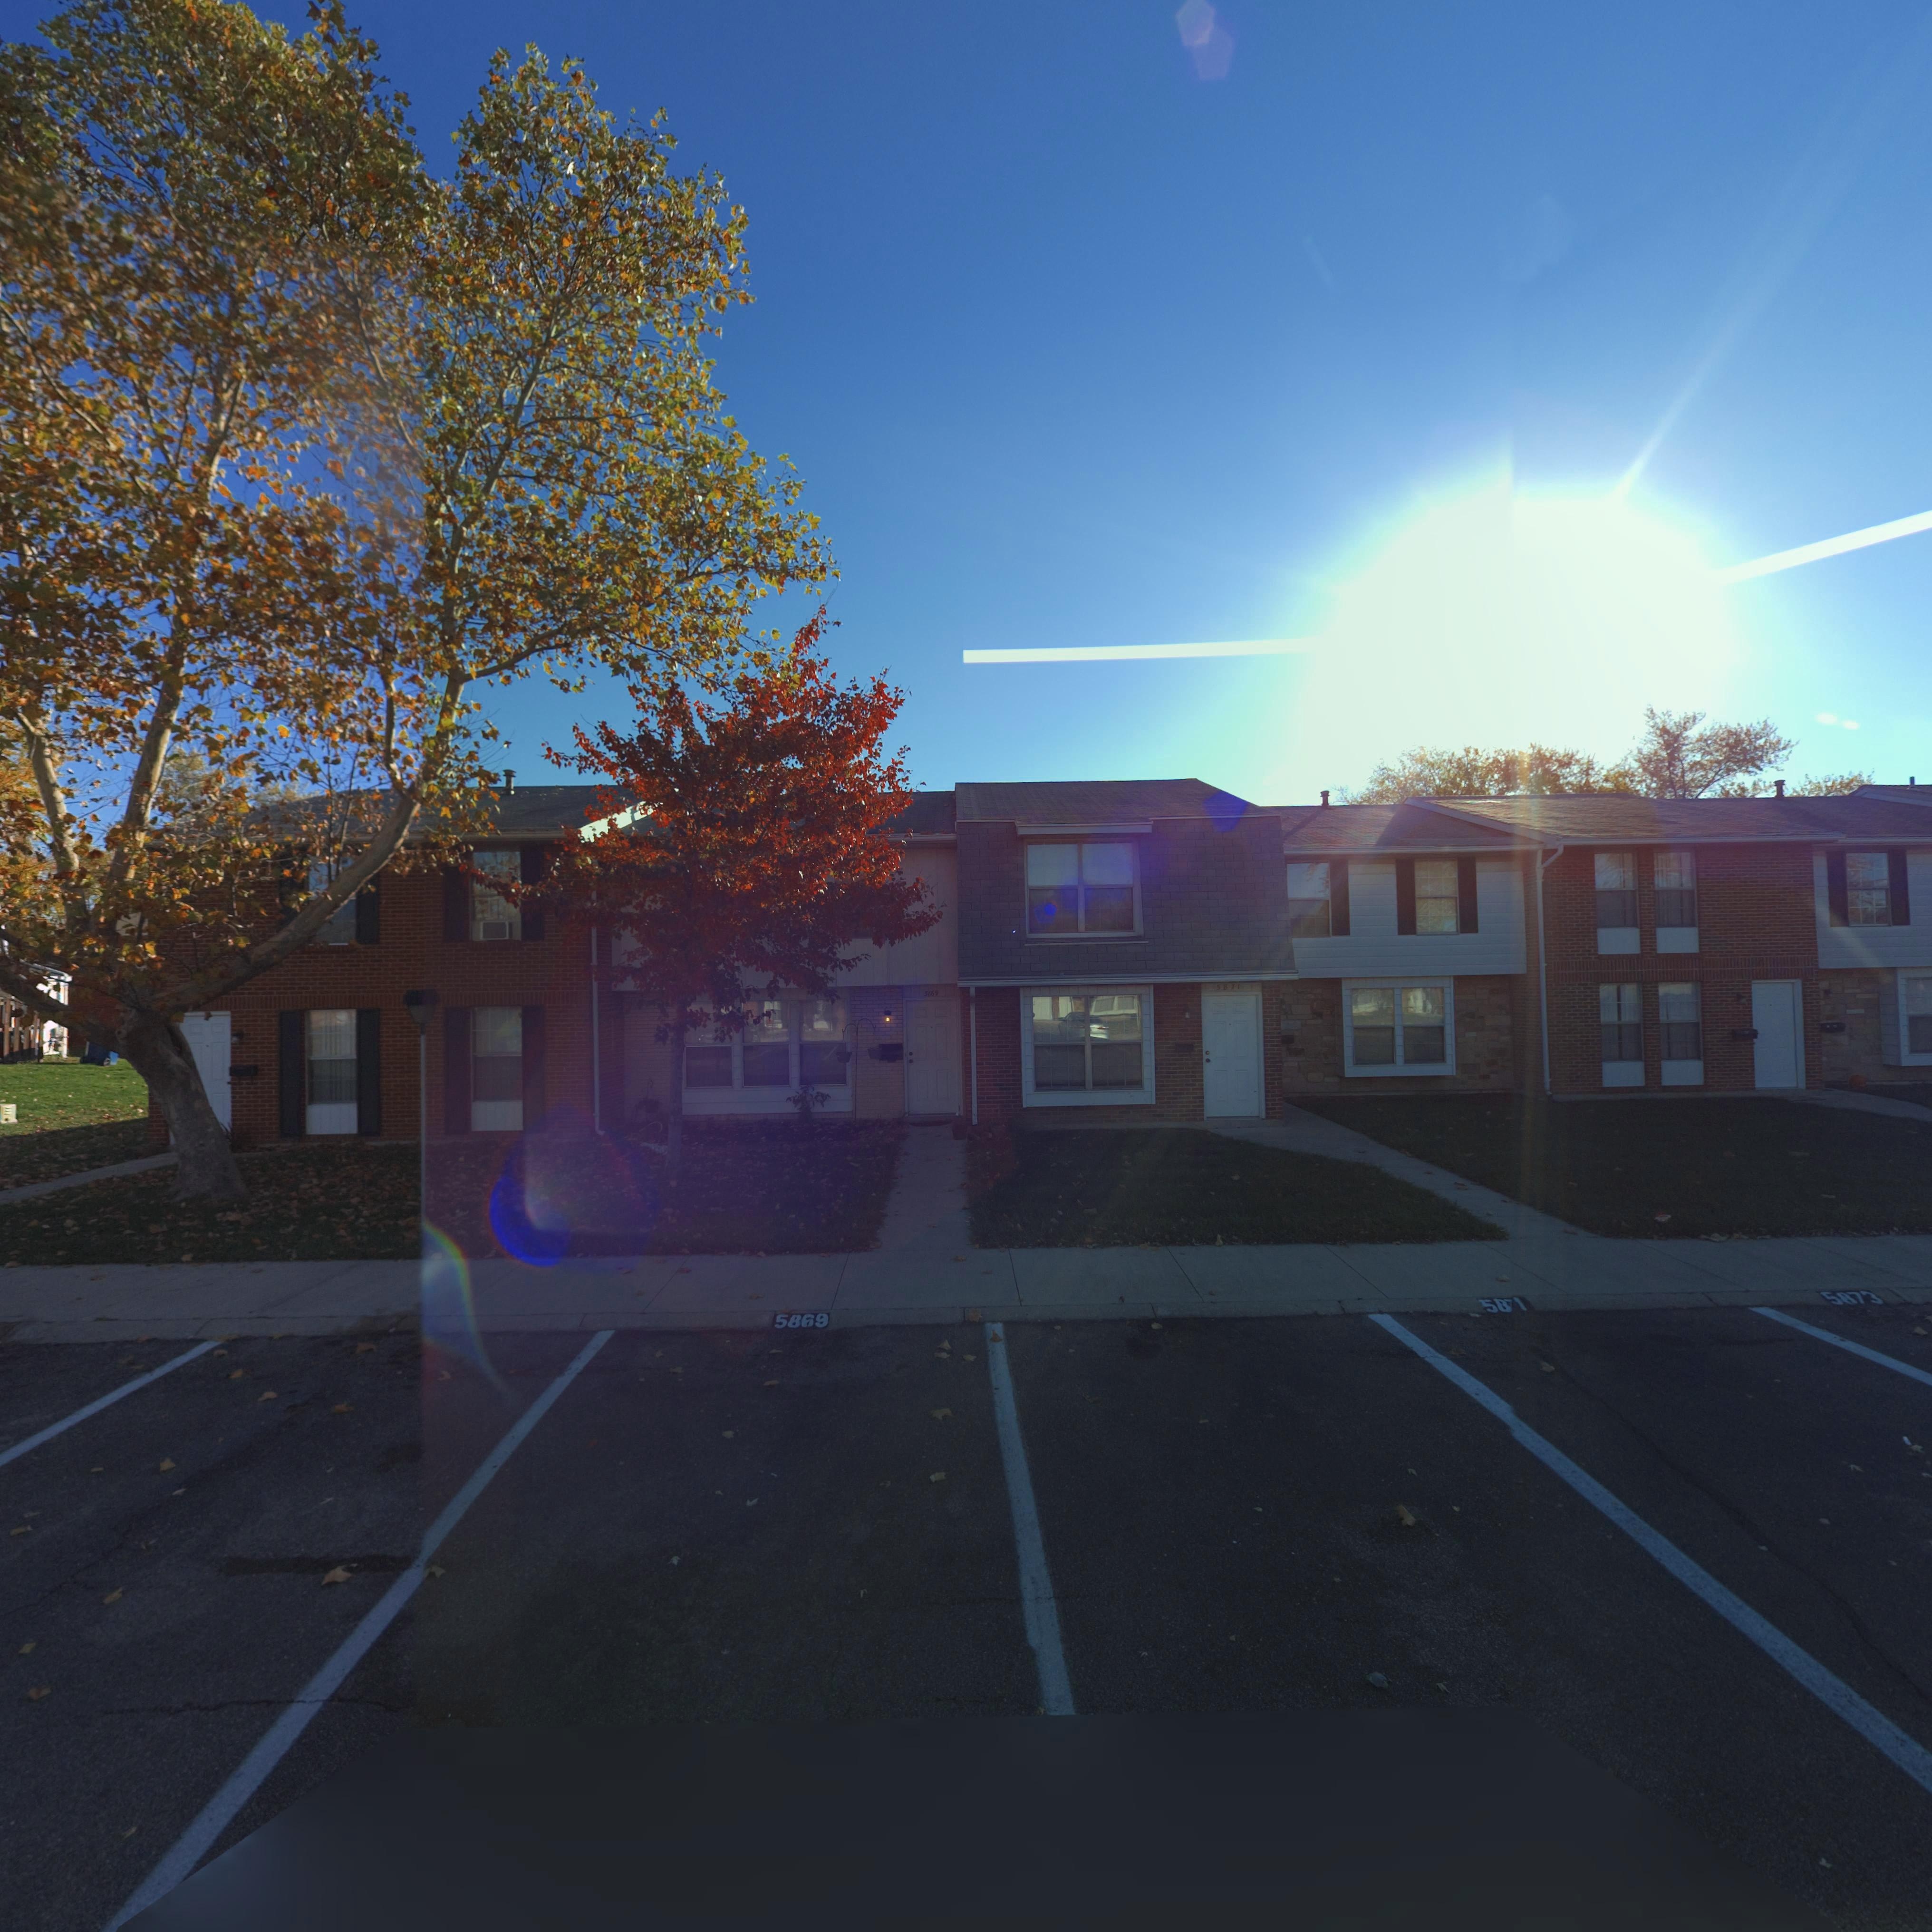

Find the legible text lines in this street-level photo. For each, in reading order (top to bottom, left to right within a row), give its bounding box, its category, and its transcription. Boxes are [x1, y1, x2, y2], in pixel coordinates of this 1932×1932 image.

[923, 989, 940, 998] StreetNumber: 5*69
[1215, 982, 1241, 991] StreetNumber: 5871
[1477, 1295, 1529, 1314] StreetNumber: 58*1
[1818, 1289, 1886, 1307] StreetNumber: 5873
[773, 1312, 830, 1330] StreetNumber: 5869